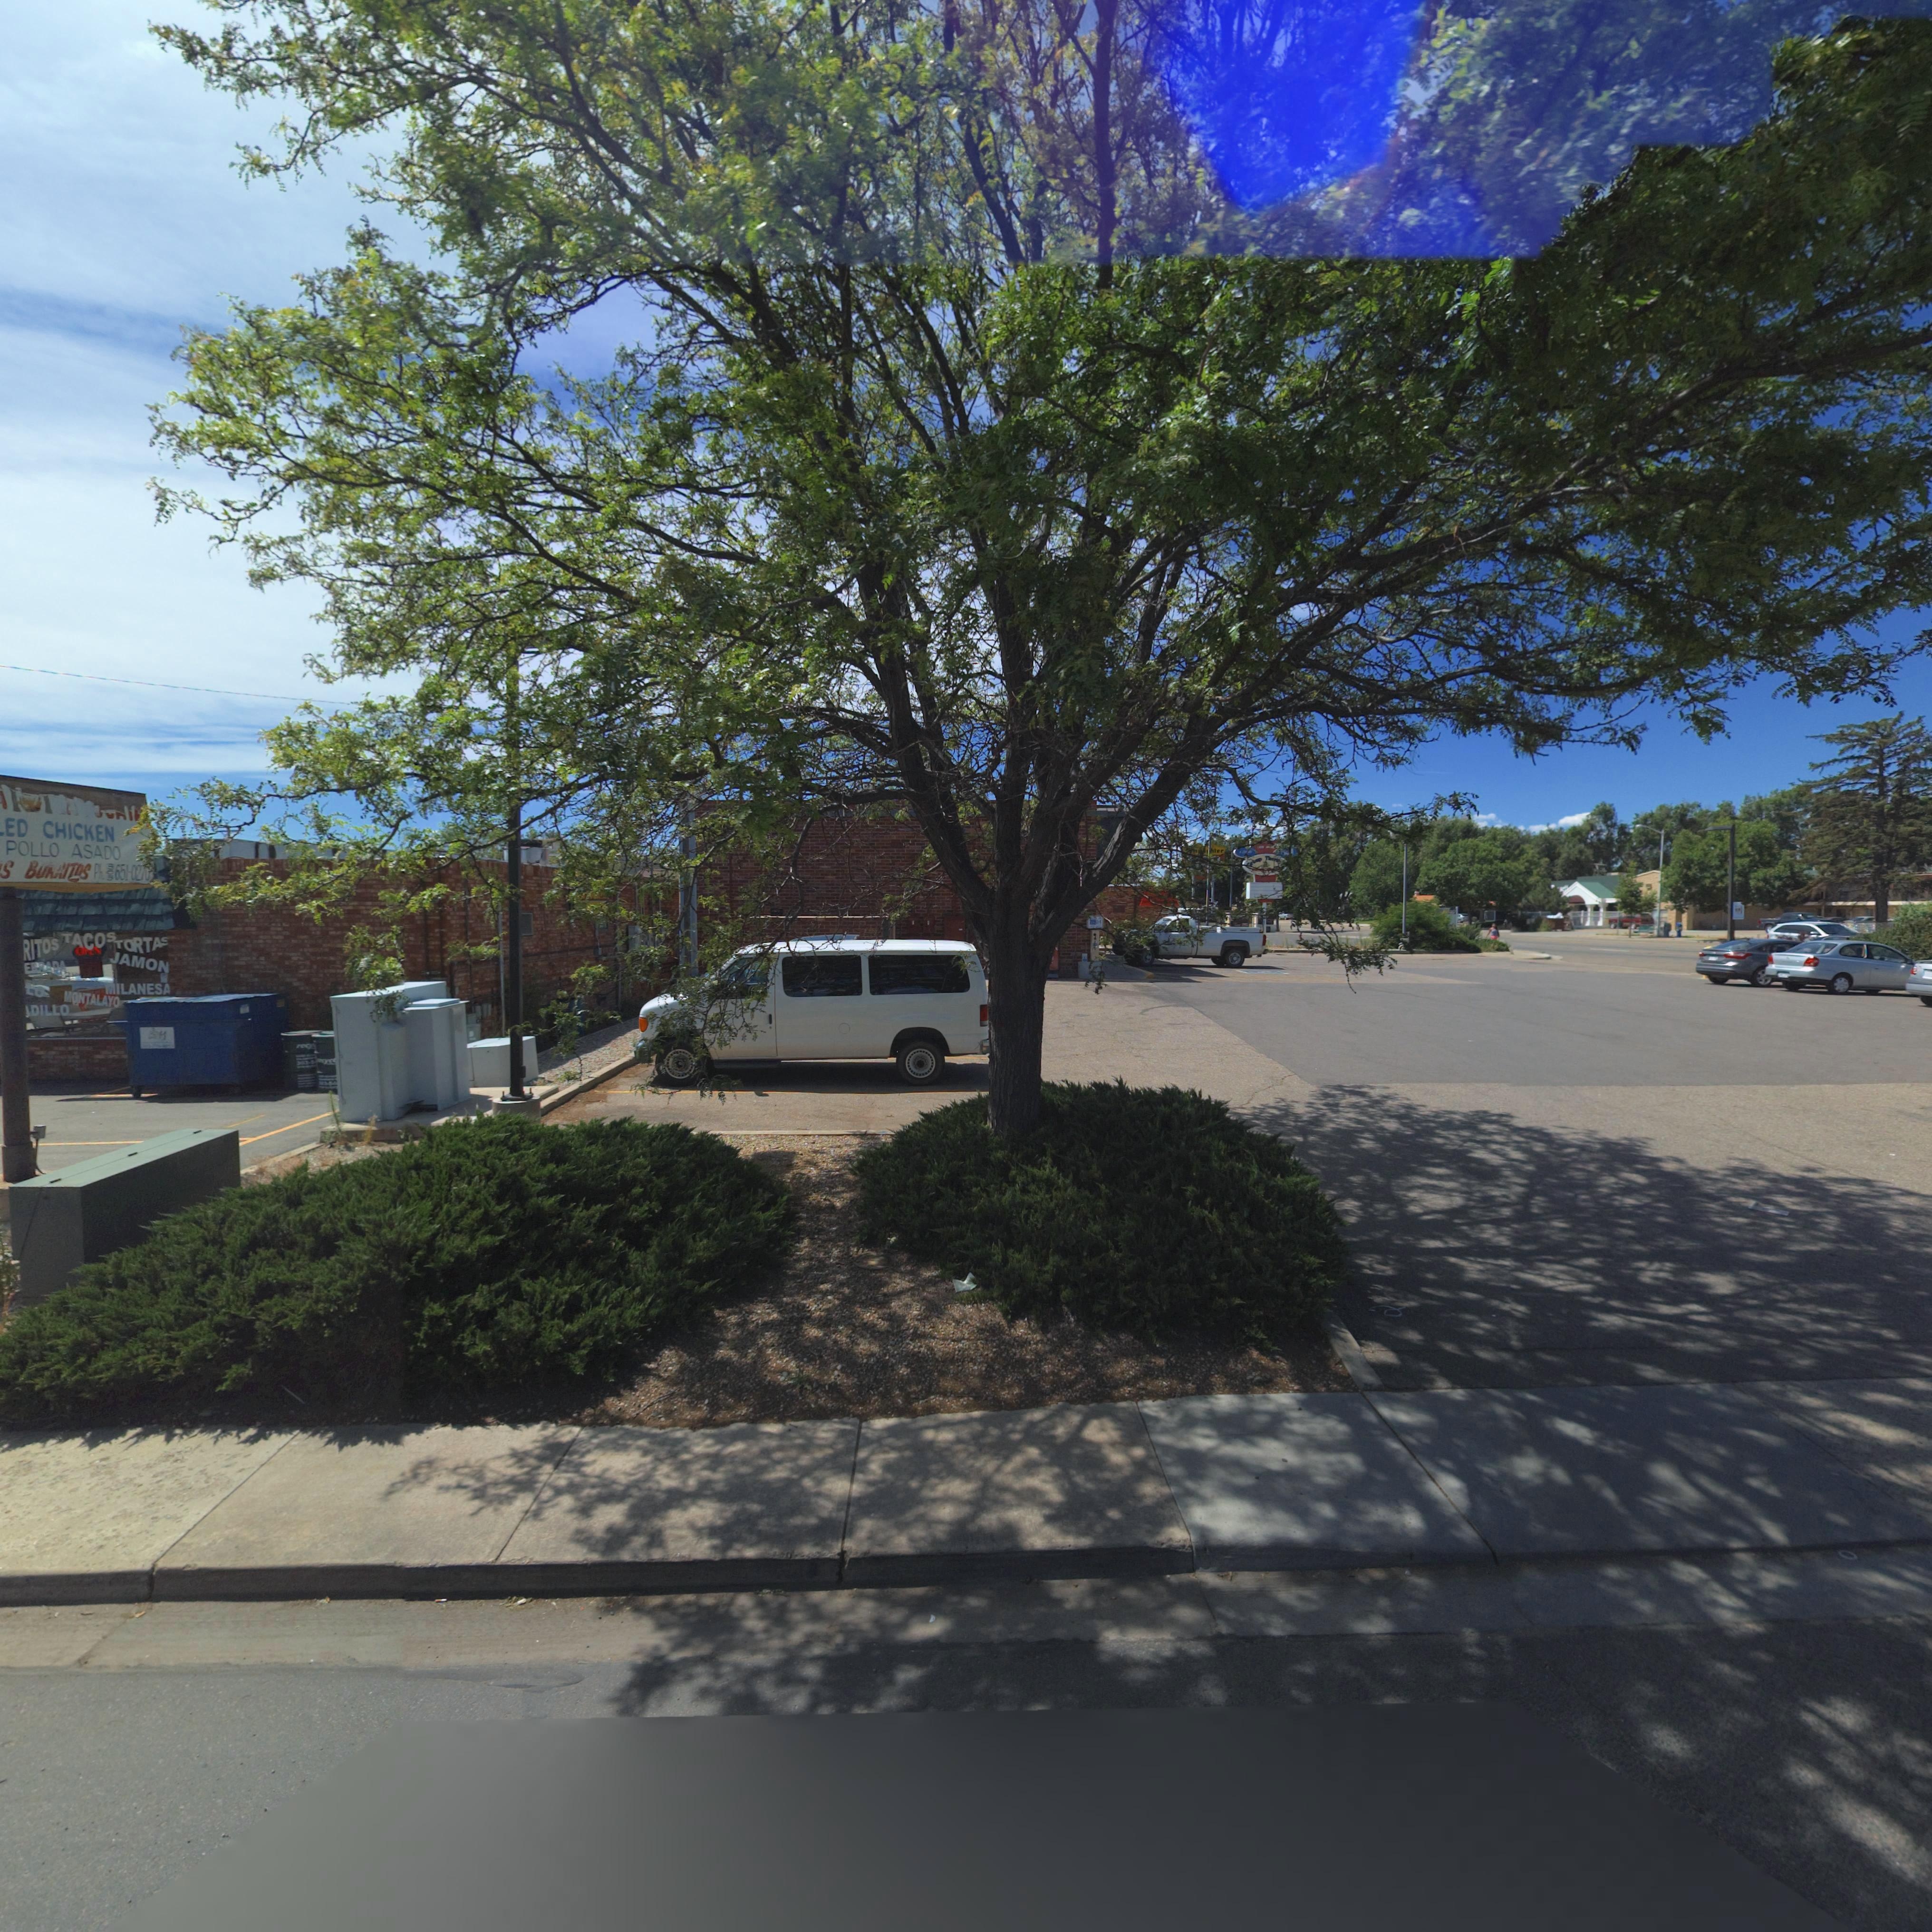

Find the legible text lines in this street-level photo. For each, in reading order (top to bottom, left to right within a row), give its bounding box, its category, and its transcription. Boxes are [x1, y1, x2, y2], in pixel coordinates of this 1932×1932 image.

[1188, 847, 1224, 853] BusinessName: ******hter